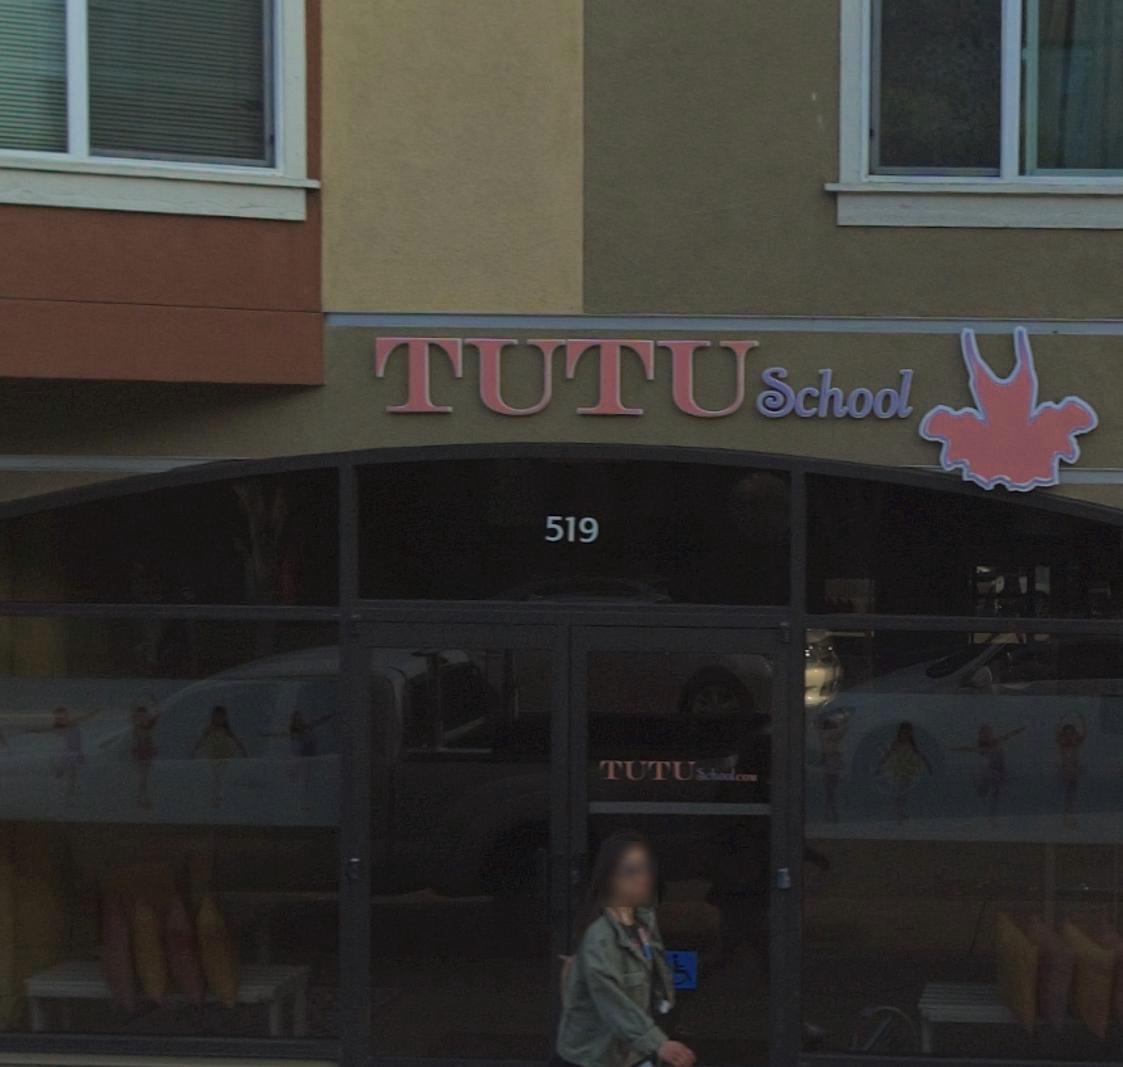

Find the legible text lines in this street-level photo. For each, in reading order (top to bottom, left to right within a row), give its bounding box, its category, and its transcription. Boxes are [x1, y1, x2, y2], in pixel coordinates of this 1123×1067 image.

[371, 330, 920, 422] BusinessName: TUTUSchool
[544, 511, 602, 548] StreetNumber: 519
[597, 756, 758, 785] None: TUTUSchool.com